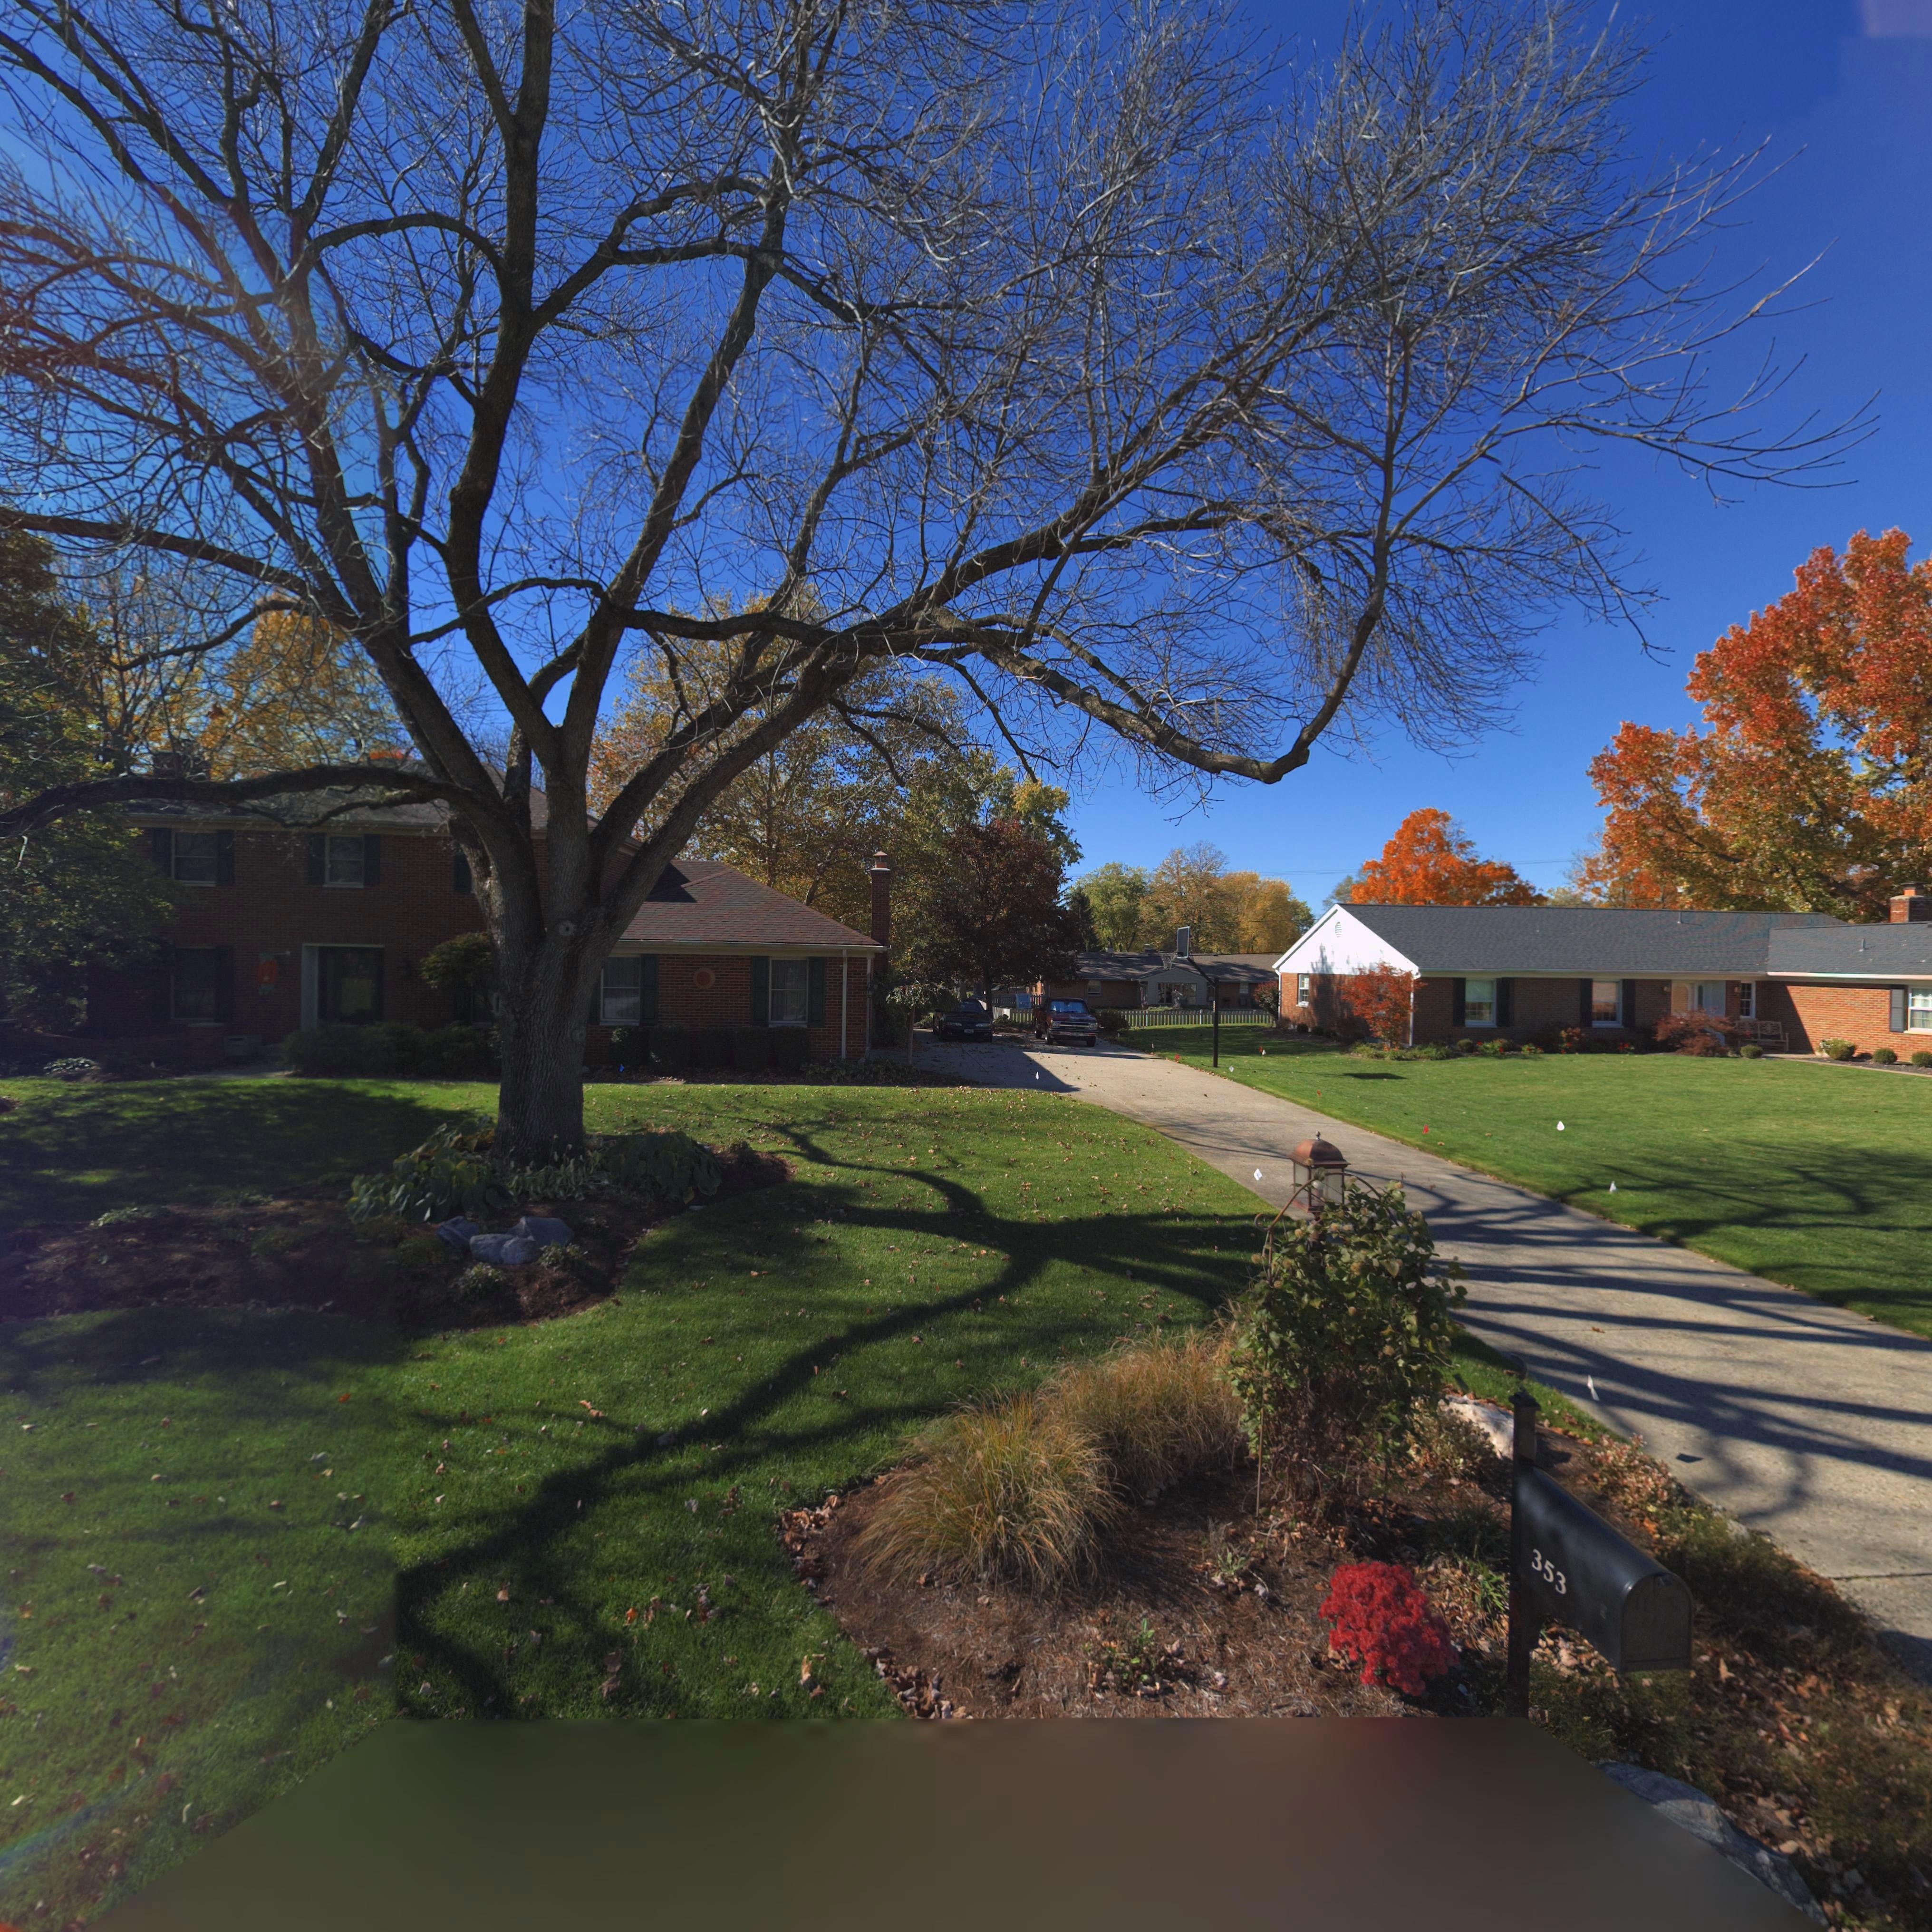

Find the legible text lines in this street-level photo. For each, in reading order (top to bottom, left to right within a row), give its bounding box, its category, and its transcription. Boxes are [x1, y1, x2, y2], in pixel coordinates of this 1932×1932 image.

[1529, 1547, 1568, 1596] StreetNumber: 353